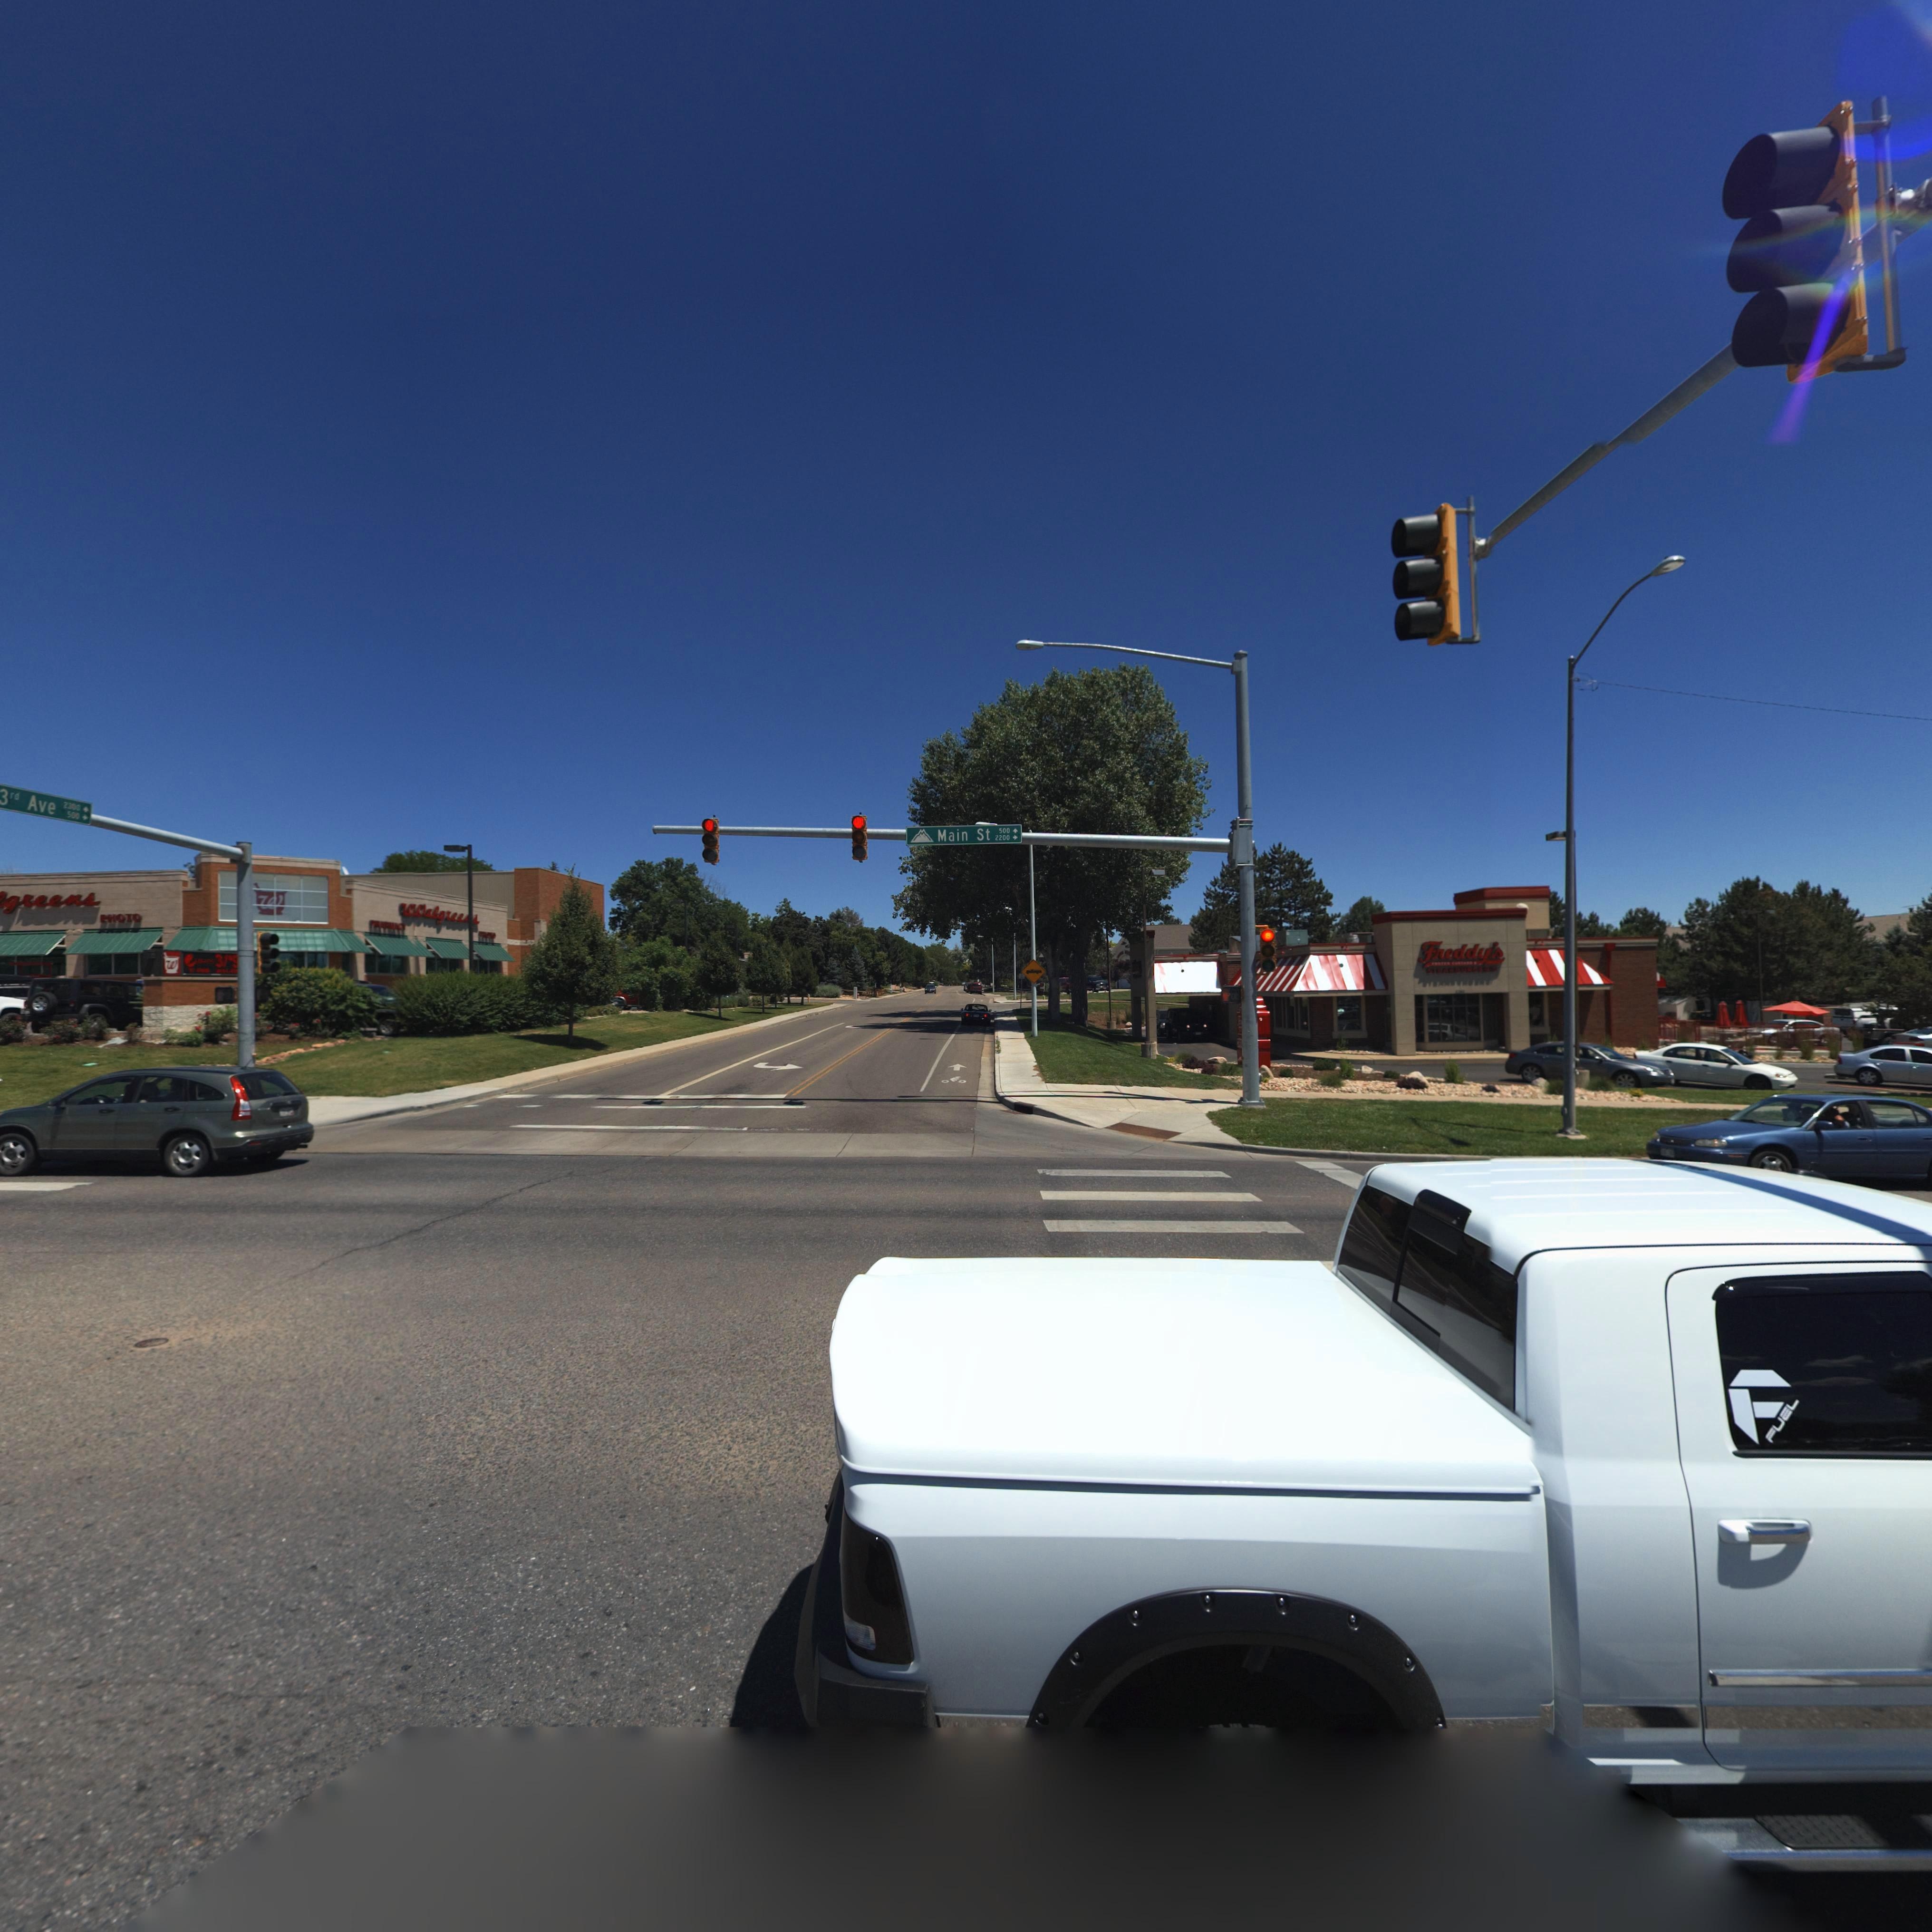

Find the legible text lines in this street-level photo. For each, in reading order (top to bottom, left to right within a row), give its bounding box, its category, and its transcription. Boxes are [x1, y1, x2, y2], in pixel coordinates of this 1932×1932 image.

[9, 792, 56, 815] StreetName: r* Ave
[63, 802, 80, 811] StreetNumberRange: 2***
[67, 811, 88, 820] StreetNumberRange: 50**
[937, 828, 990, 842] StreetName: Main St
[999, 827, 1010, 833] StreetNumberRange: 500
[995, 834, 1018, 840] StreetNumberRange: 2200->
[2, 892, 100, 914] BusinessName: greens
[400, 903, 479, 924] BusinessName: *Walgree*s
[1418, 940, 1504, 964] BusinessName: Freddy's